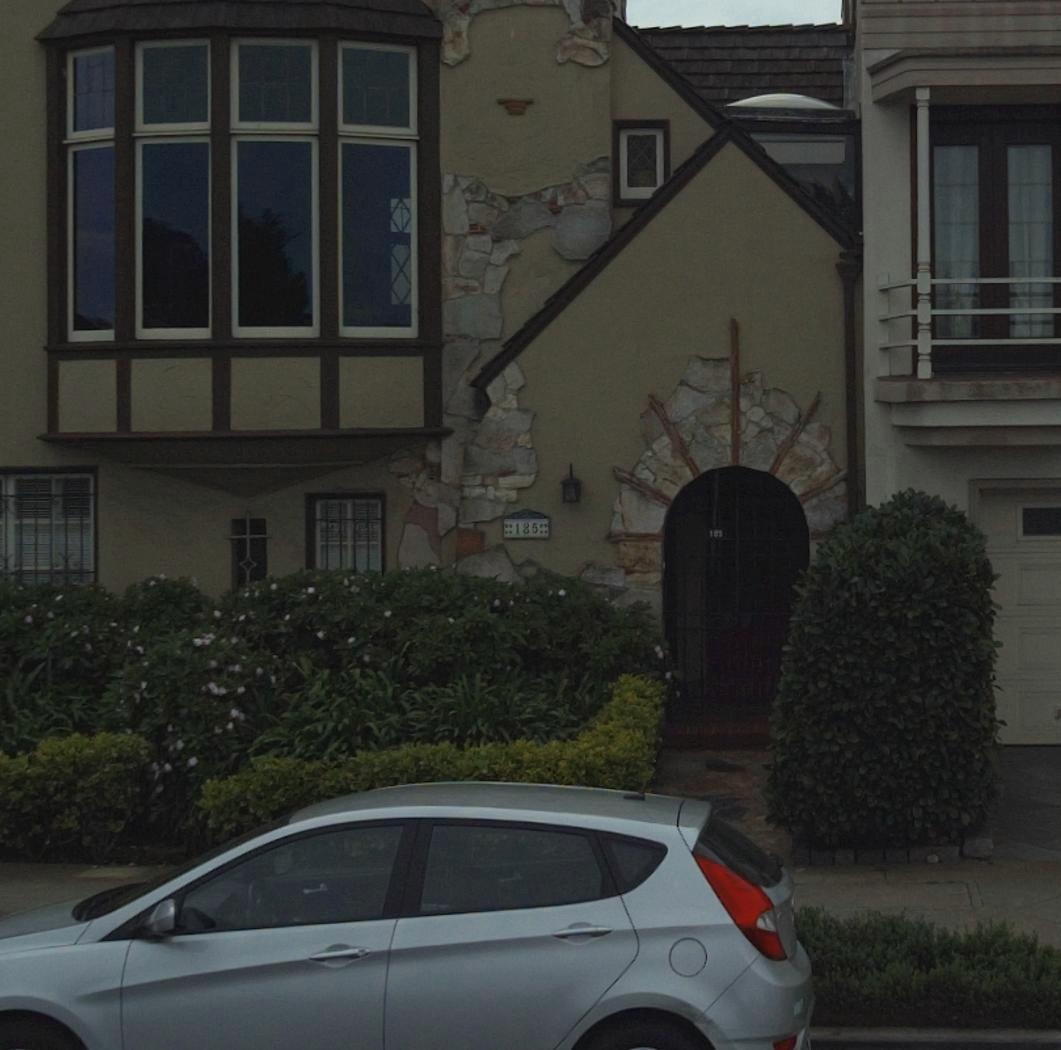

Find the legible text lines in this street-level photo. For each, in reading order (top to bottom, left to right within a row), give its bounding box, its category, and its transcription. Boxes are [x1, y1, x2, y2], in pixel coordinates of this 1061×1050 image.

[515, 522, 540, 535] StreetNumber: 185
[709, 528, 723, 539] StreetNumber: 1**